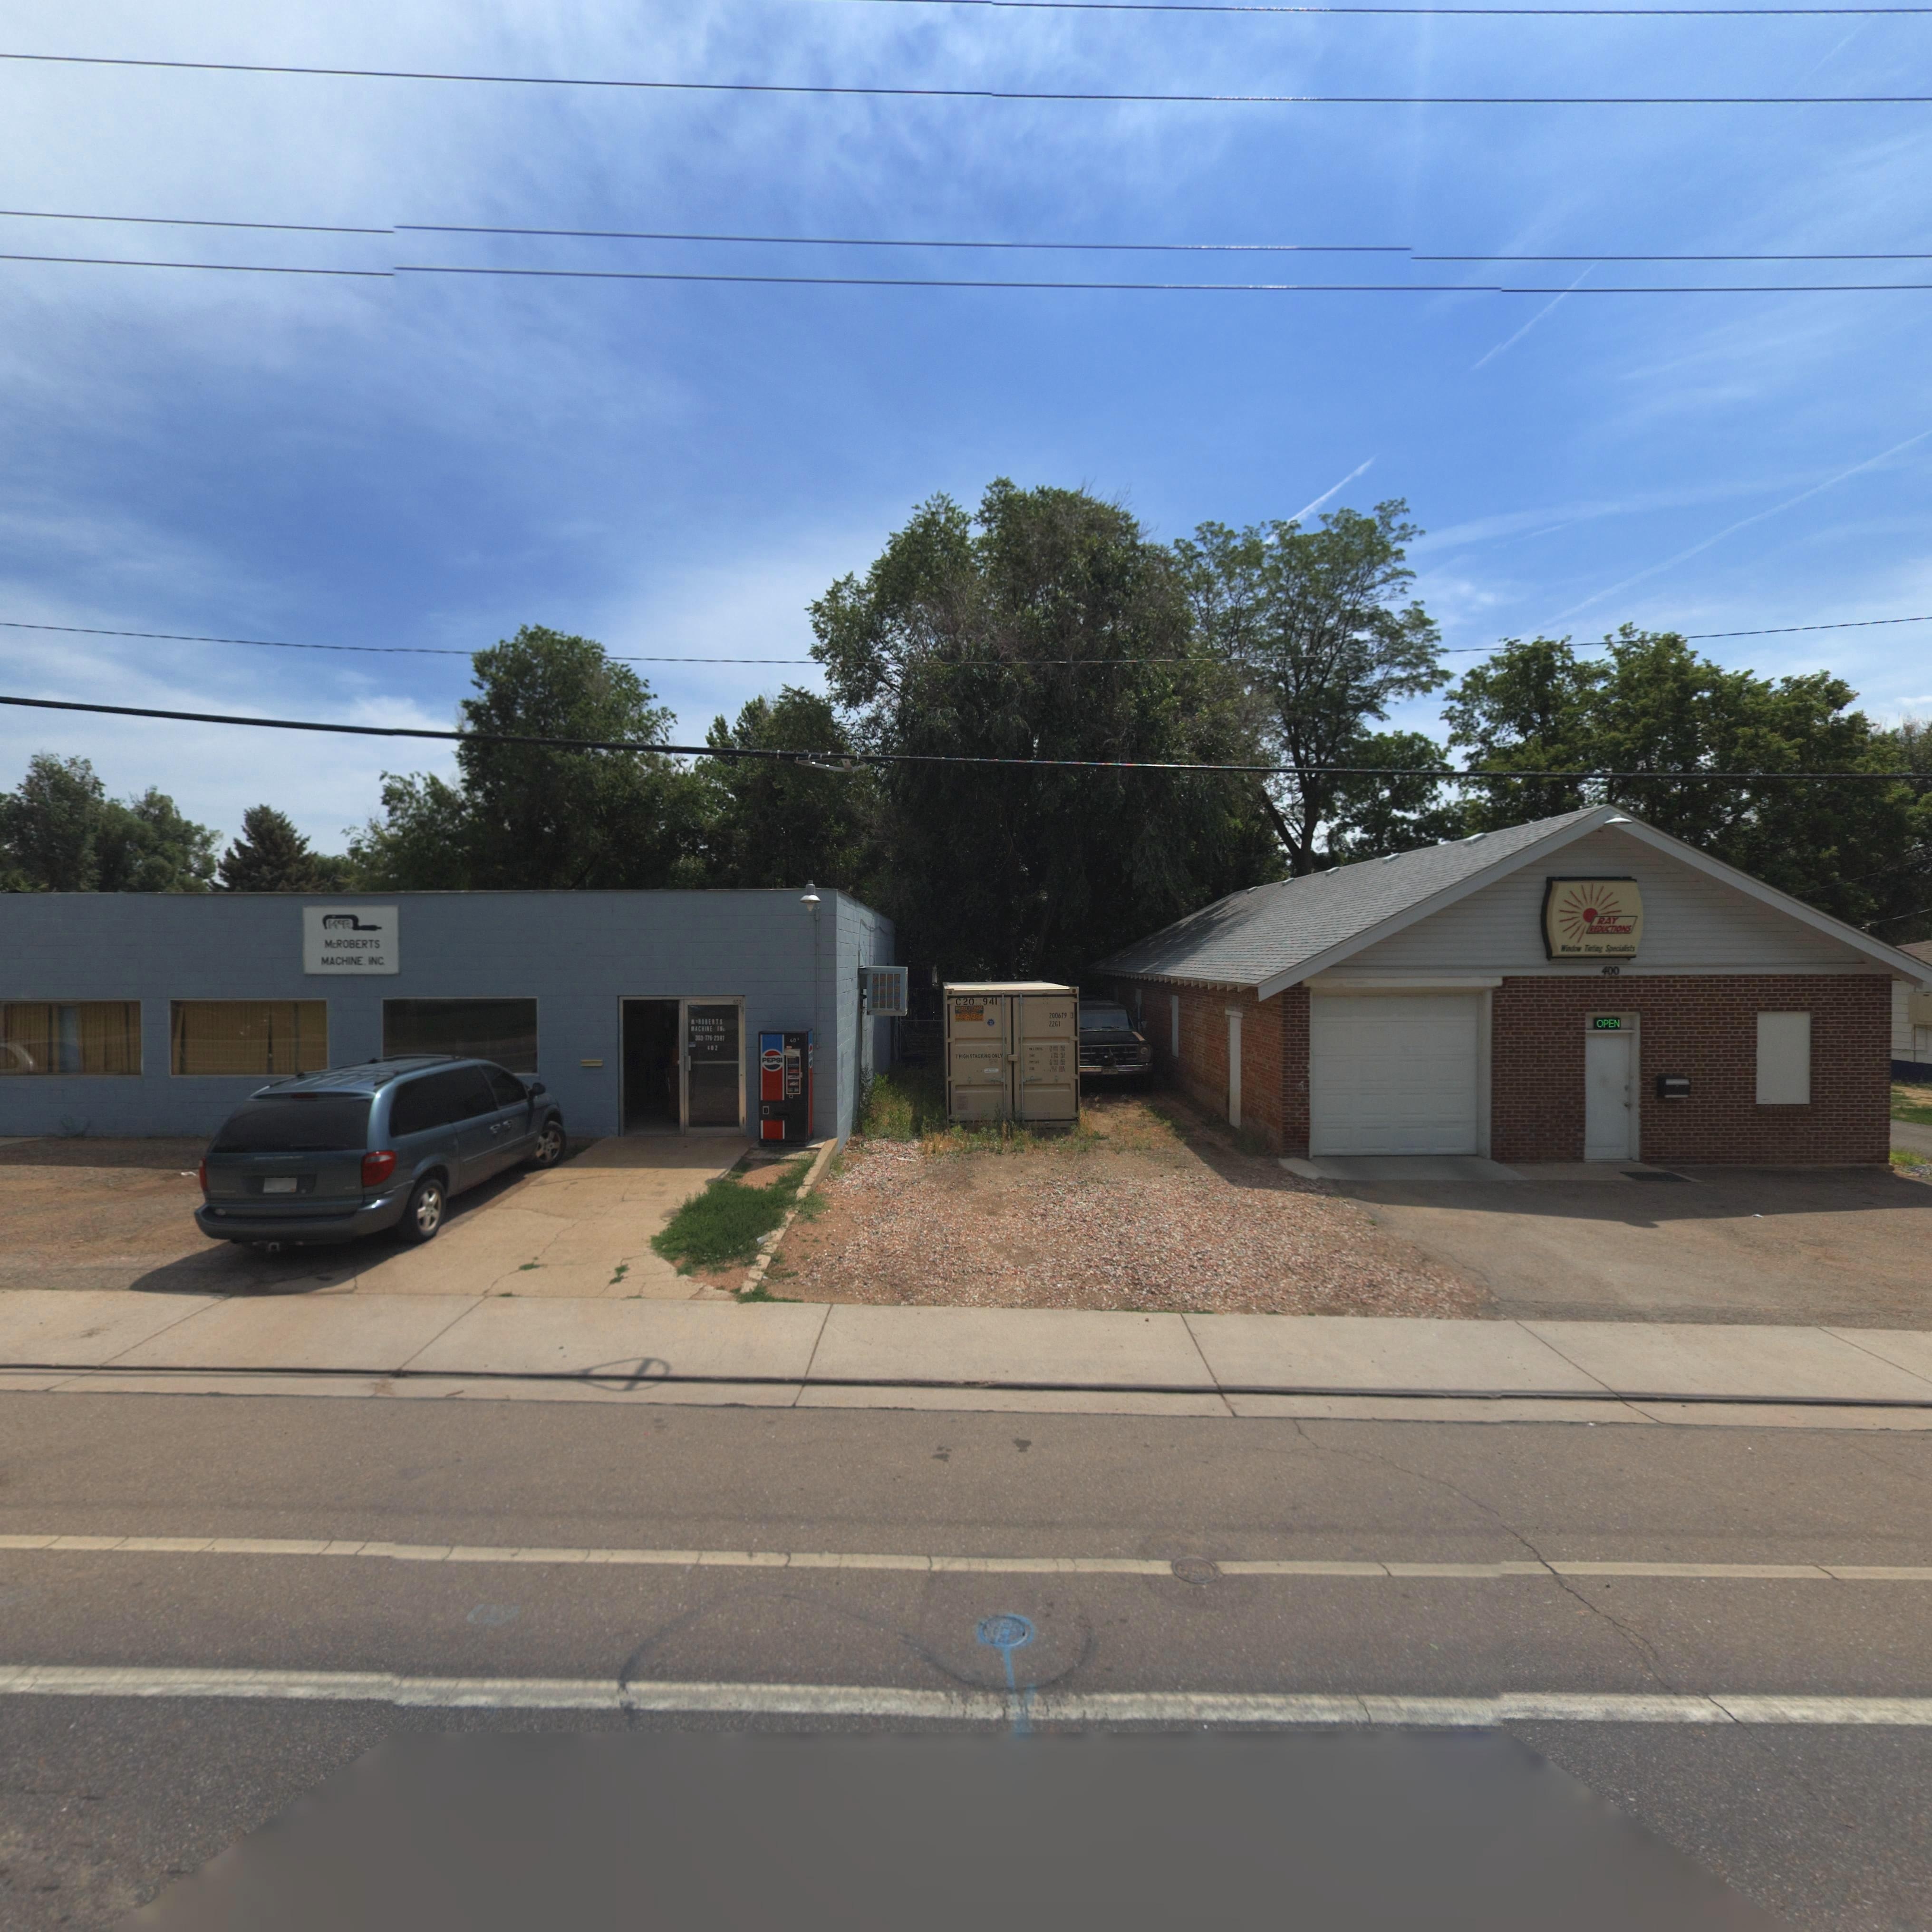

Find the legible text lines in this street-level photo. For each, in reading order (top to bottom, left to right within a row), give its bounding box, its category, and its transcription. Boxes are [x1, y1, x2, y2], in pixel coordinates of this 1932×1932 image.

[327, 919, 352, 930] BusinessName: M*R
[1596, 917, 1620, 925] BusinessName: RAY
[1587, 924, 1633, 933] BusinessName: REDUCTIONS
[324, 938, 381, 949] BusinessName: McROBERTS
[320, 956, 384, 966] BusinessName: MACHINE INC
[1601, 965, 1621, 975] StreetNumber: 400
[691, 1018, 723, 1024] BusinessName: **ROBERTS
[691, 1025, 725, 1031] BusinessName: *ACHI*E I**